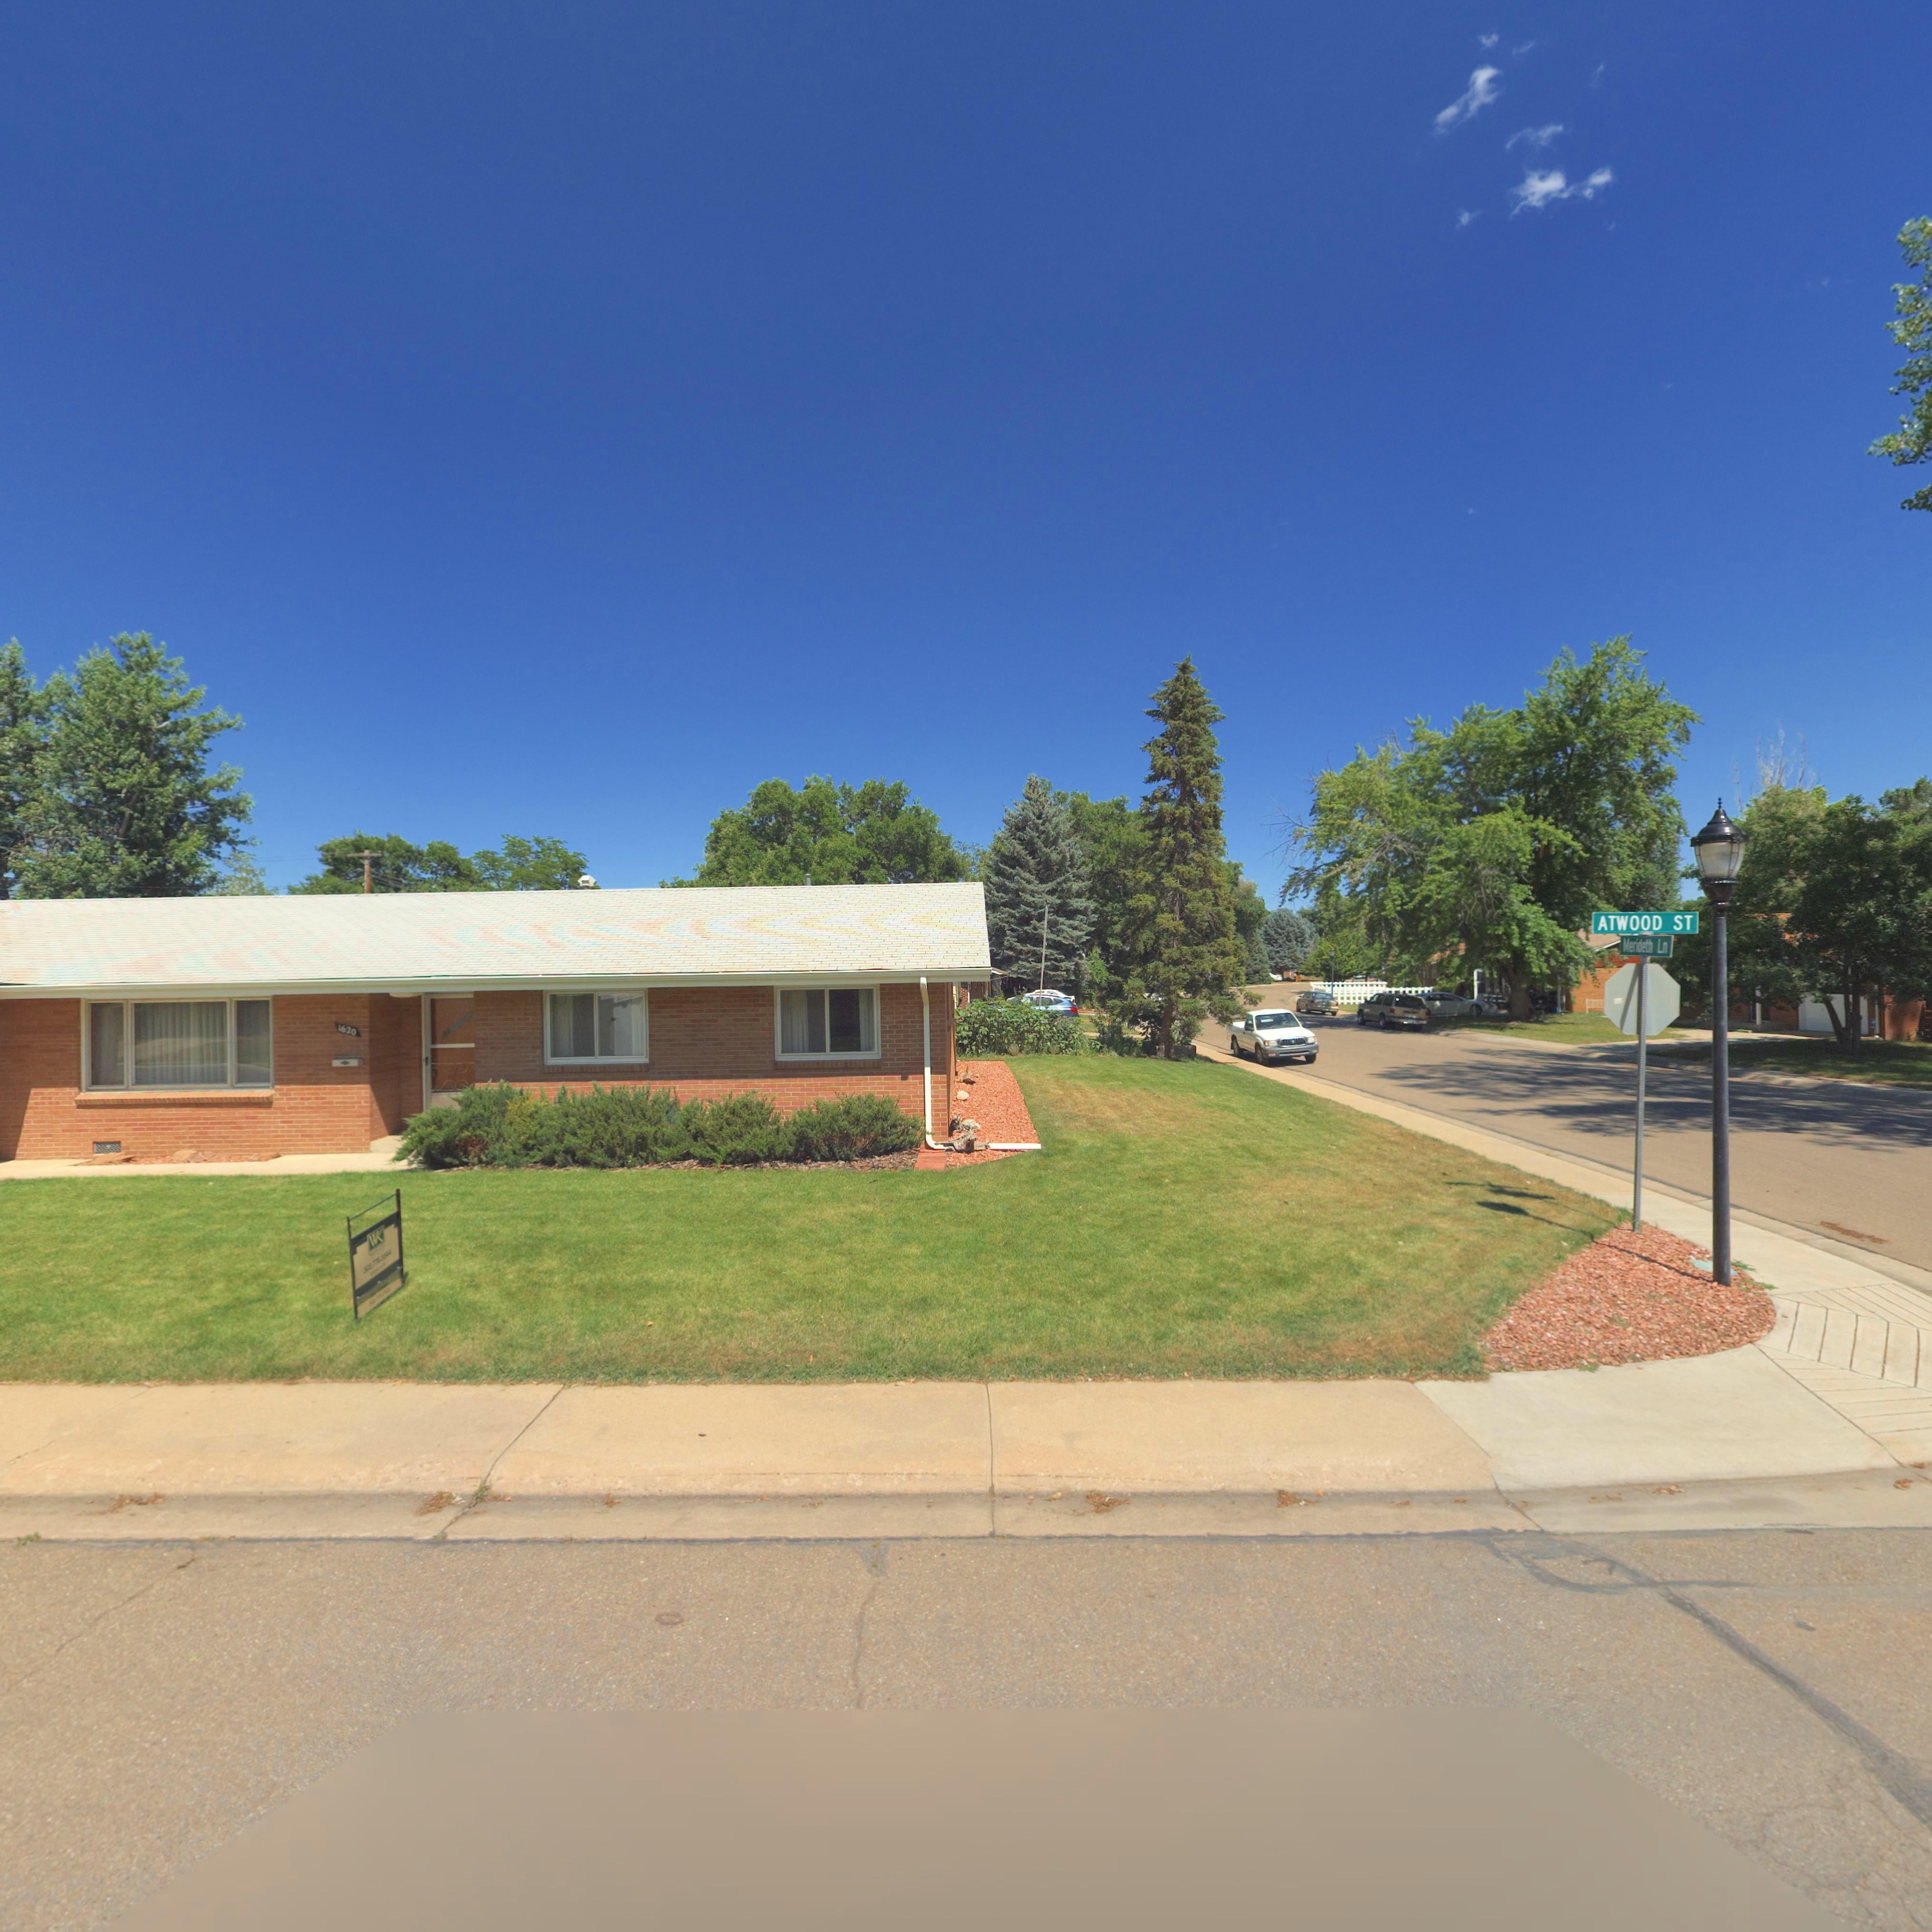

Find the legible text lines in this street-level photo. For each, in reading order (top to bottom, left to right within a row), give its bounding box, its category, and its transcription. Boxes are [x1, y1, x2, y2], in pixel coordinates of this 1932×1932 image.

[1596, 914, 1693, 931] StreetName: ATWOOD ST
[1622, 937, 1668, 954] StreetName: Merideth Ln
[338, 1024, 357, 1036] StreetNumber: 1620